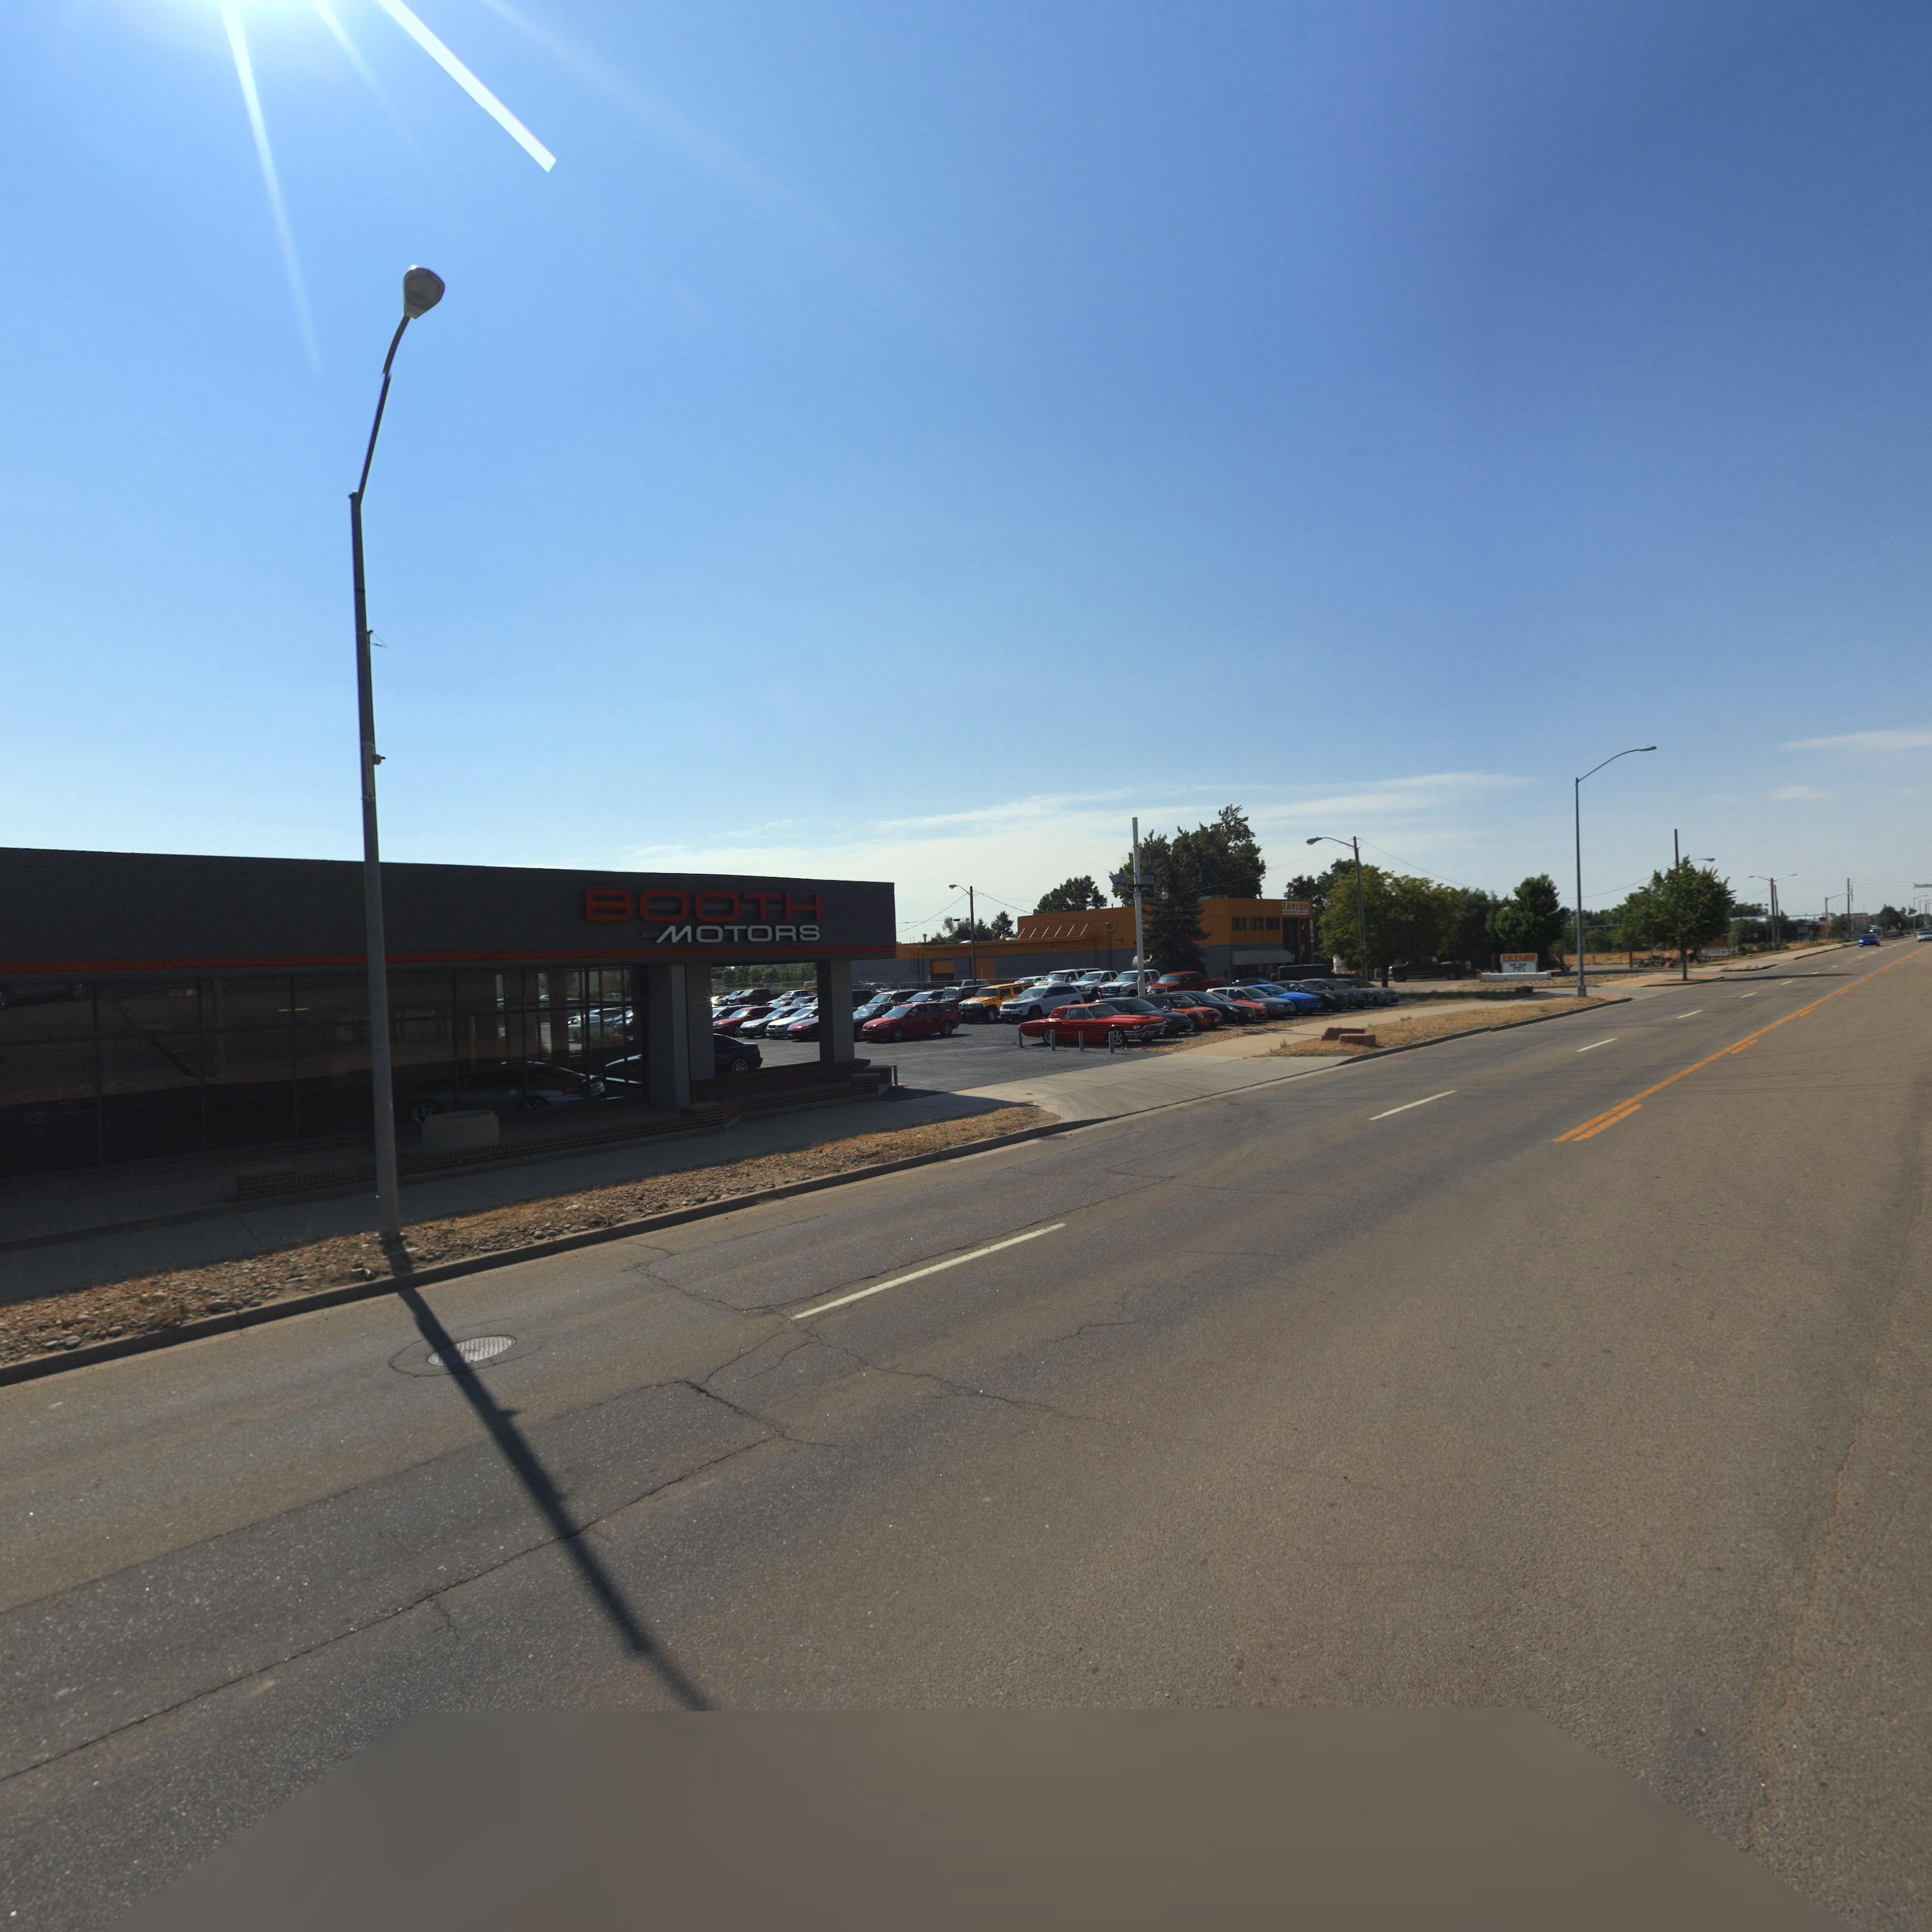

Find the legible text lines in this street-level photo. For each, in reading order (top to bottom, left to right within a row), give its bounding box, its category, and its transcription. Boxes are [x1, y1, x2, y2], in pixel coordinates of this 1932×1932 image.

[584, 888, 823, 923] BusinessName: BOOTH
[1282, 902, 1308, 910] BusinessName: TAYLOR
[654, 924, 822, 944] BusinessName: MOTORS
[1502, 954, 1536, 960] BusinessName: TAYLOR